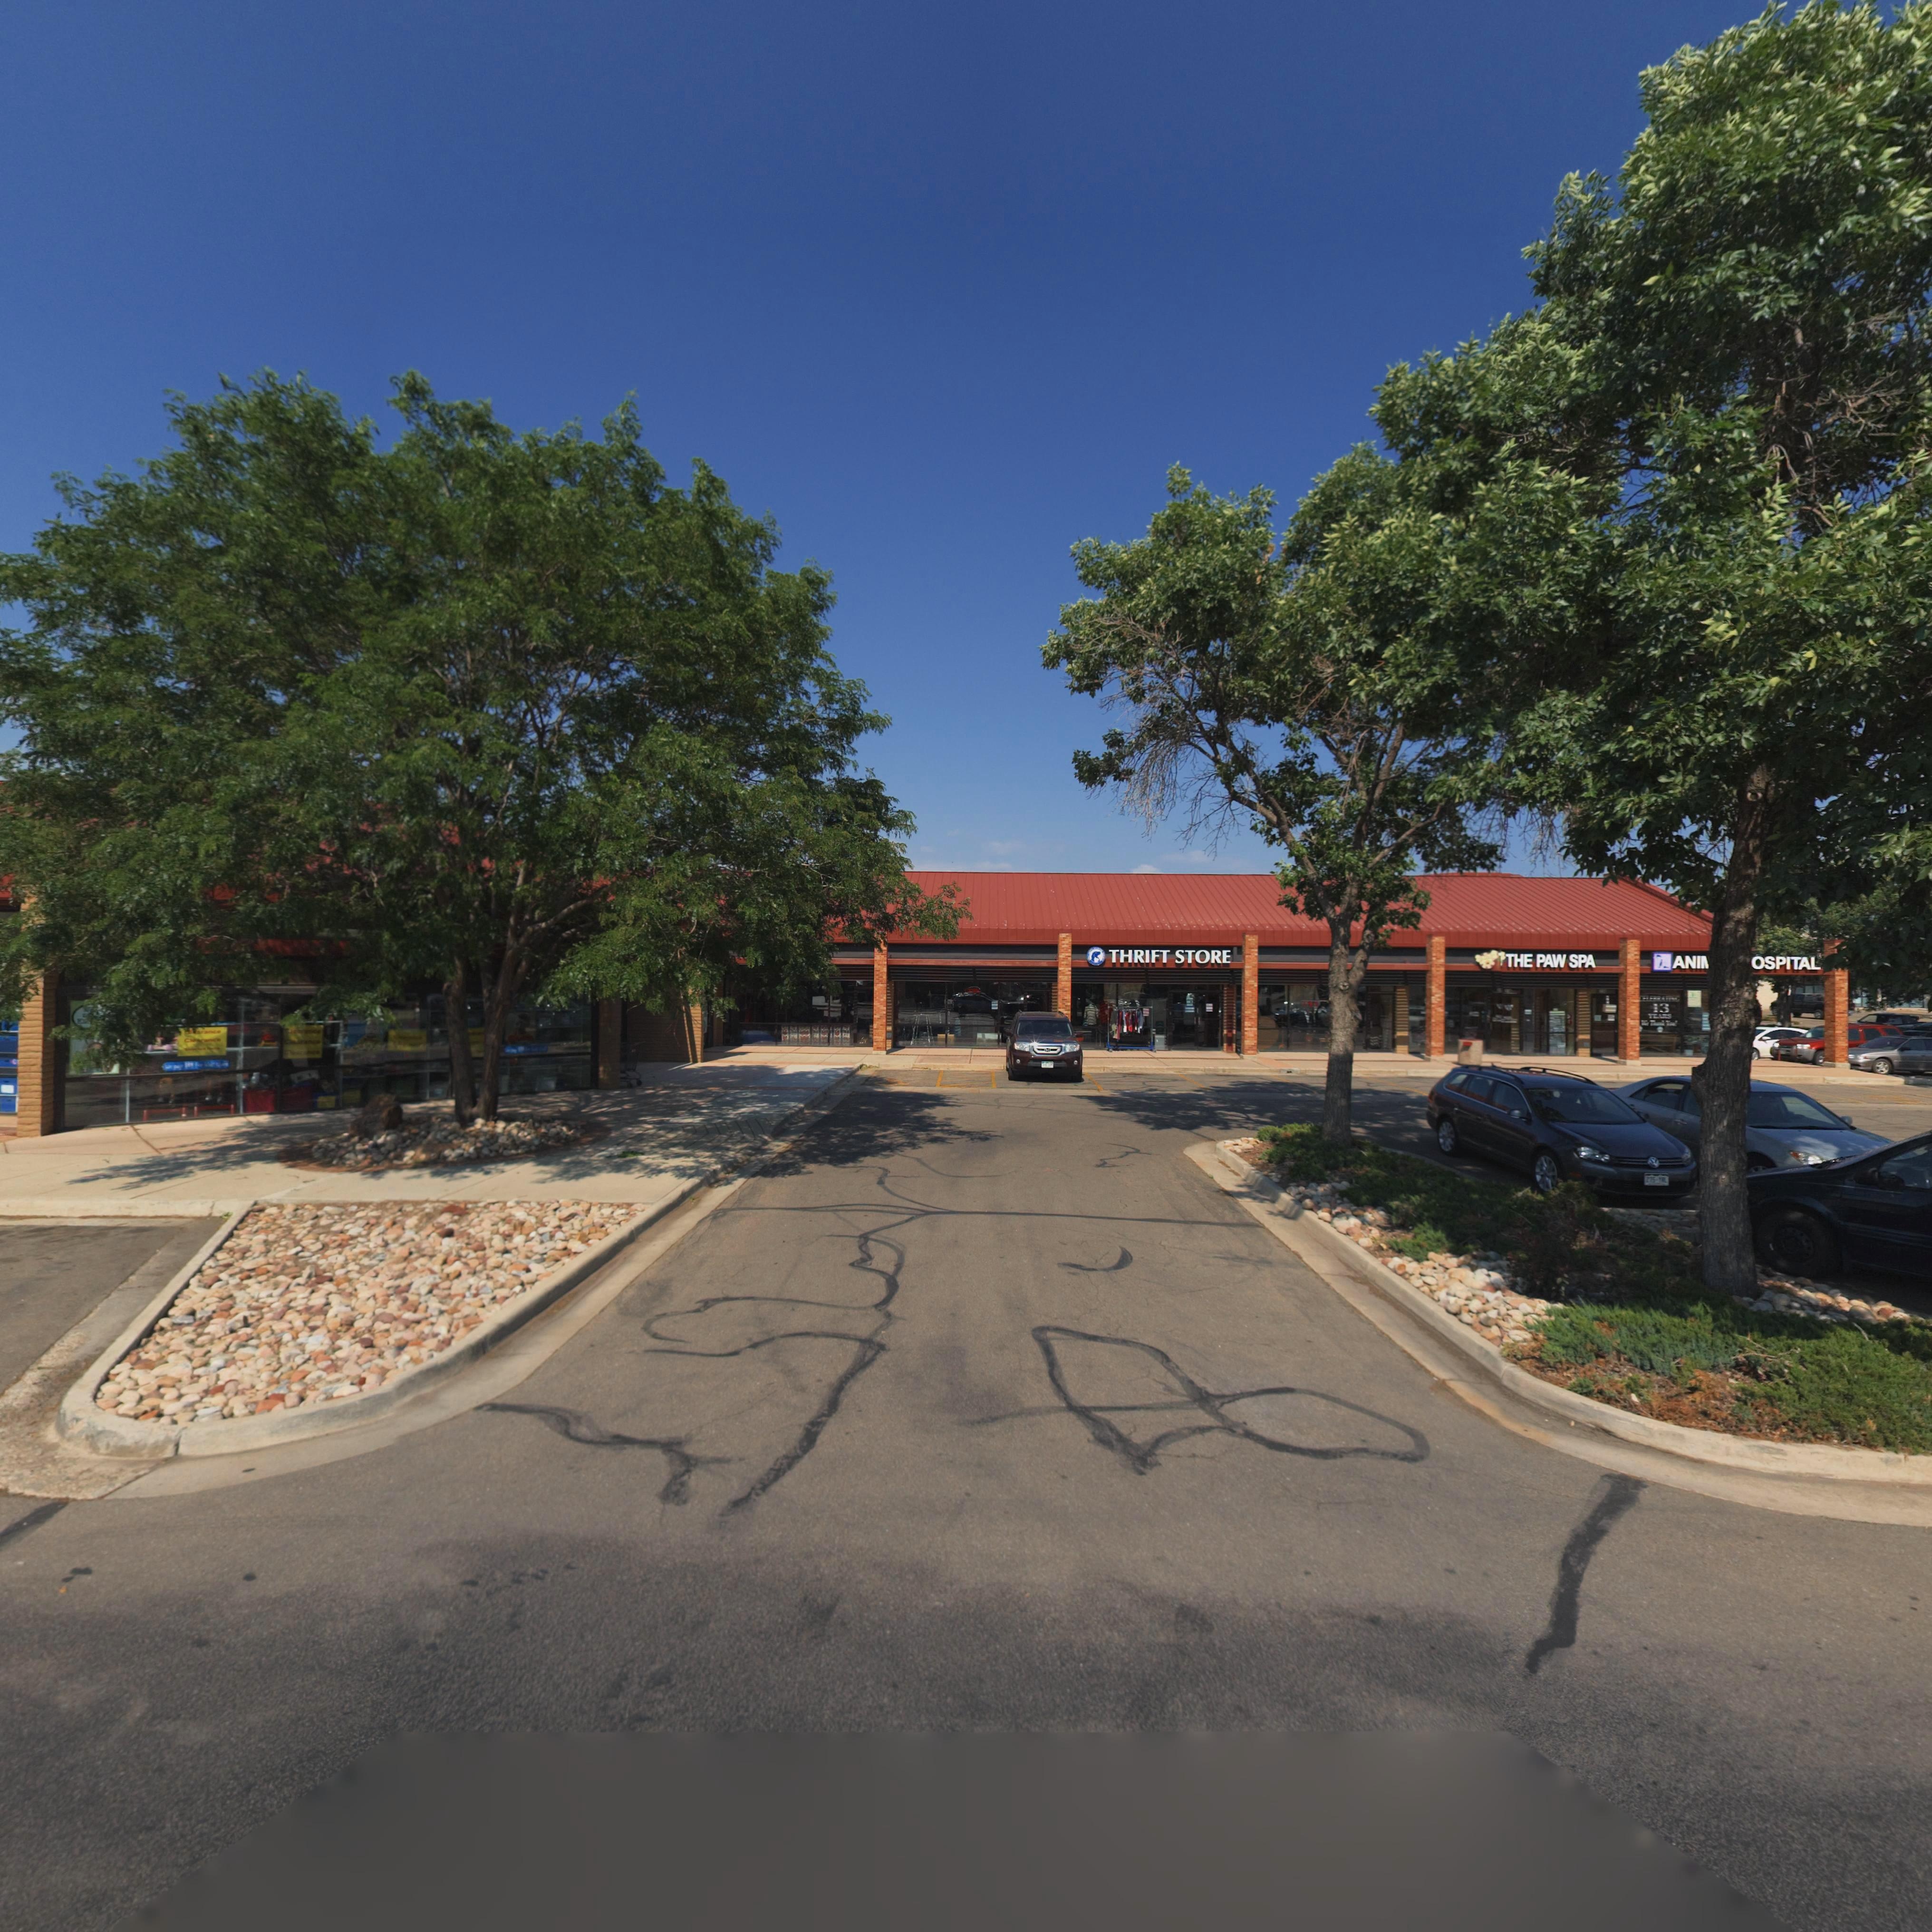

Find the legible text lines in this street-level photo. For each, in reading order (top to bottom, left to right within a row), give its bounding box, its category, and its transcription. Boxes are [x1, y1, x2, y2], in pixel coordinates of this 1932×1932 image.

[1505, 952, 1597, 968] BusinessName: THE PAW SPA